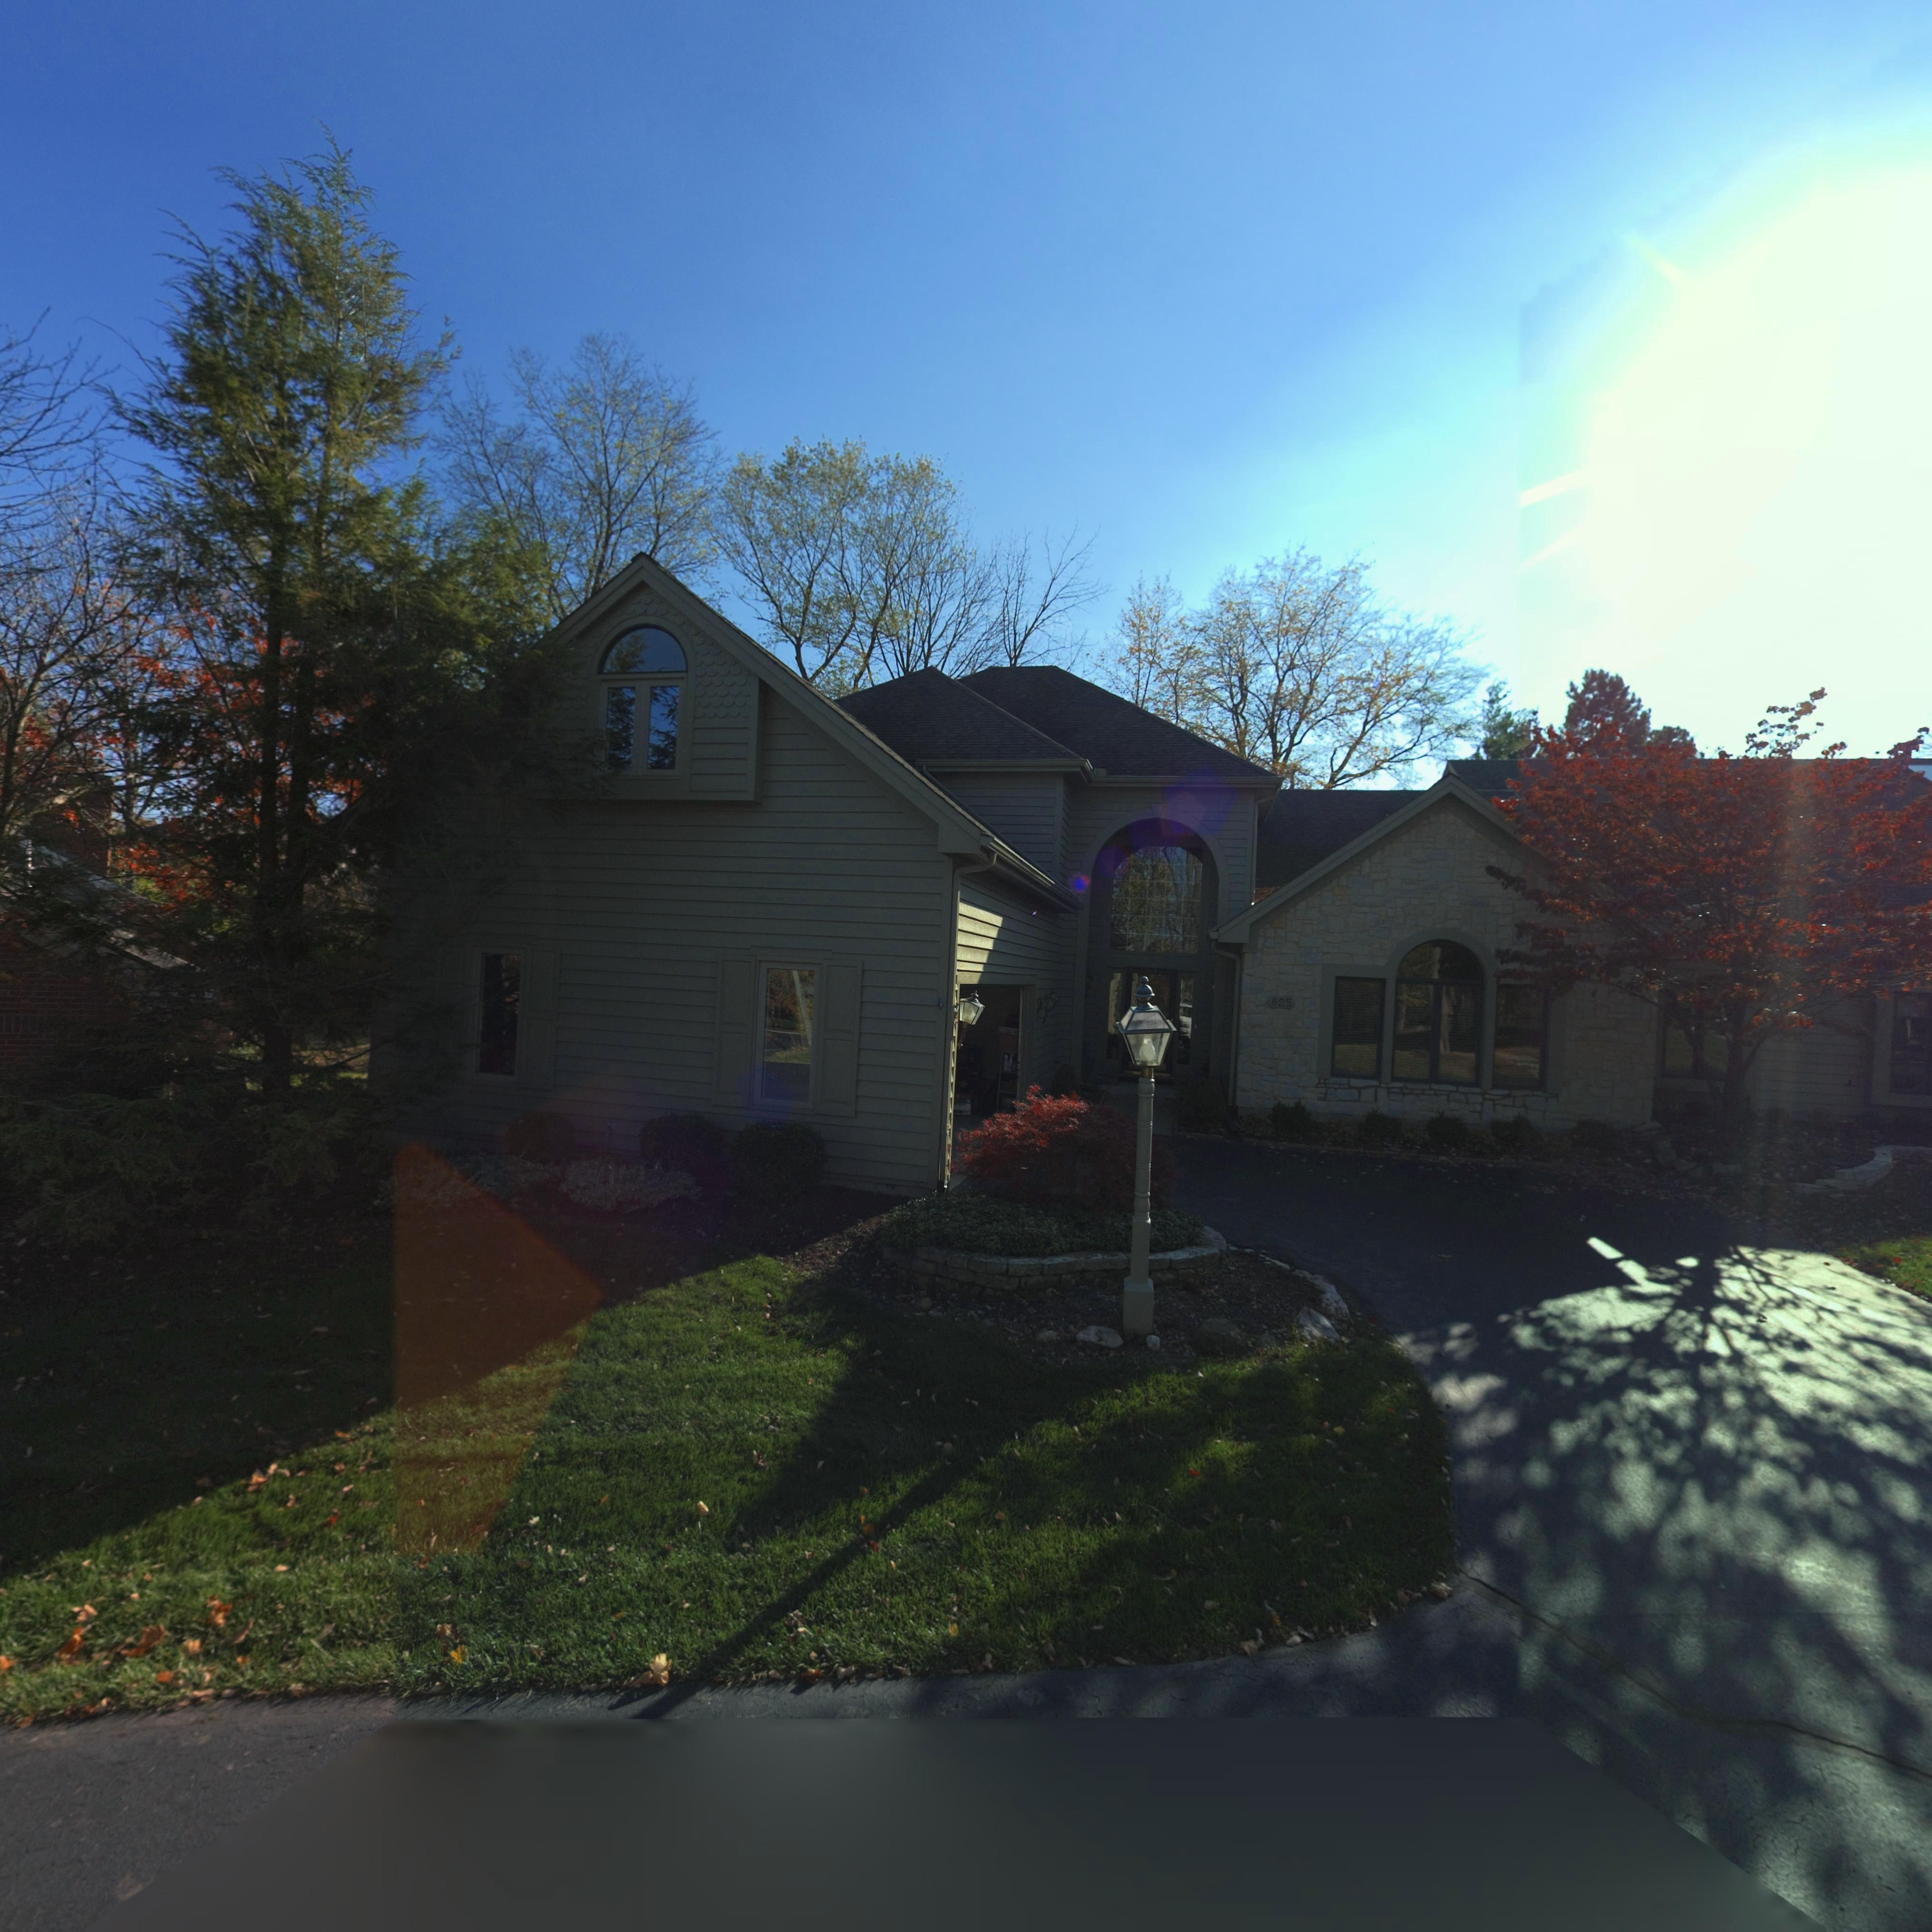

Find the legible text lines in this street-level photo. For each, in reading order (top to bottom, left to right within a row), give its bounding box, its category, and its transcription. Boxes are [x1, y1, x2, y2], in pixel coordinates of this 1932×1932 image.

[1271, 996, 1292, 1007] StreetNumber: 825